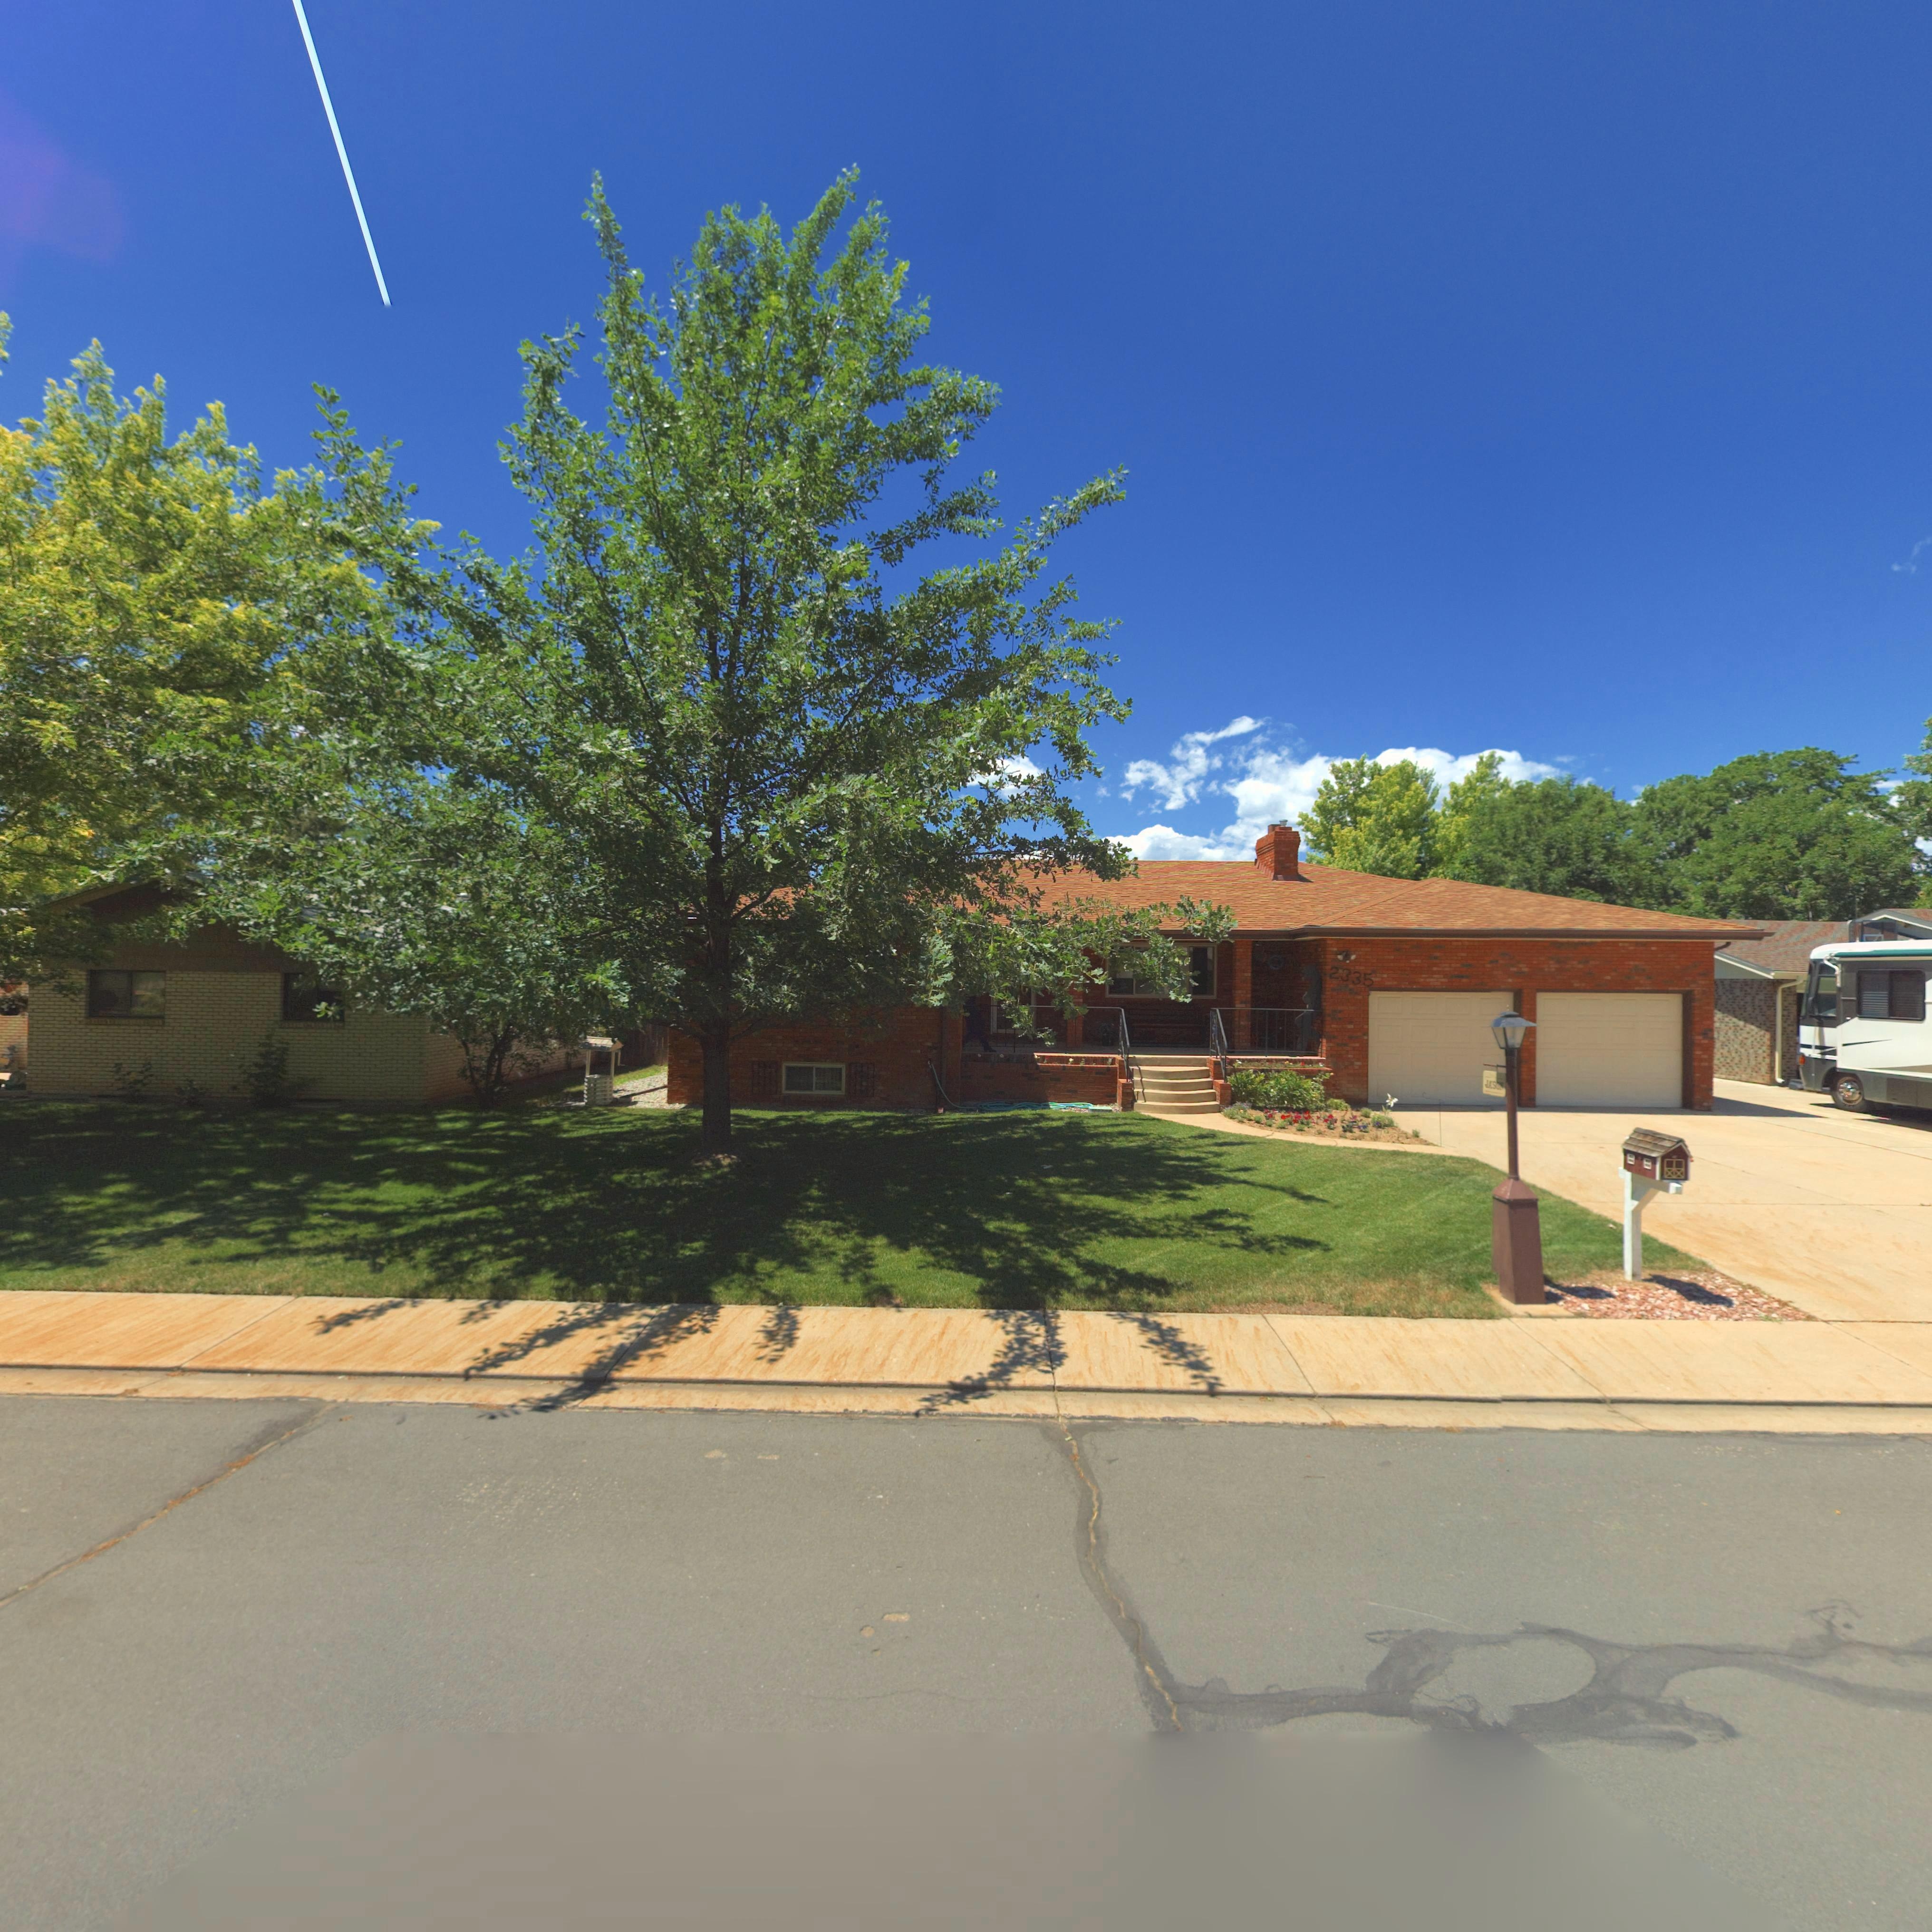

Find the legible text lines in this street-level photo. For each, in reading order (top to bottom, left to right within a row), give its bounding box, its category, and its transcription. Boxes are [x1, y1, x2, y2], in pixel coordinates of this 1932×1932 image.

[1329, 966, 1374, 987] StreetNumber: 2335